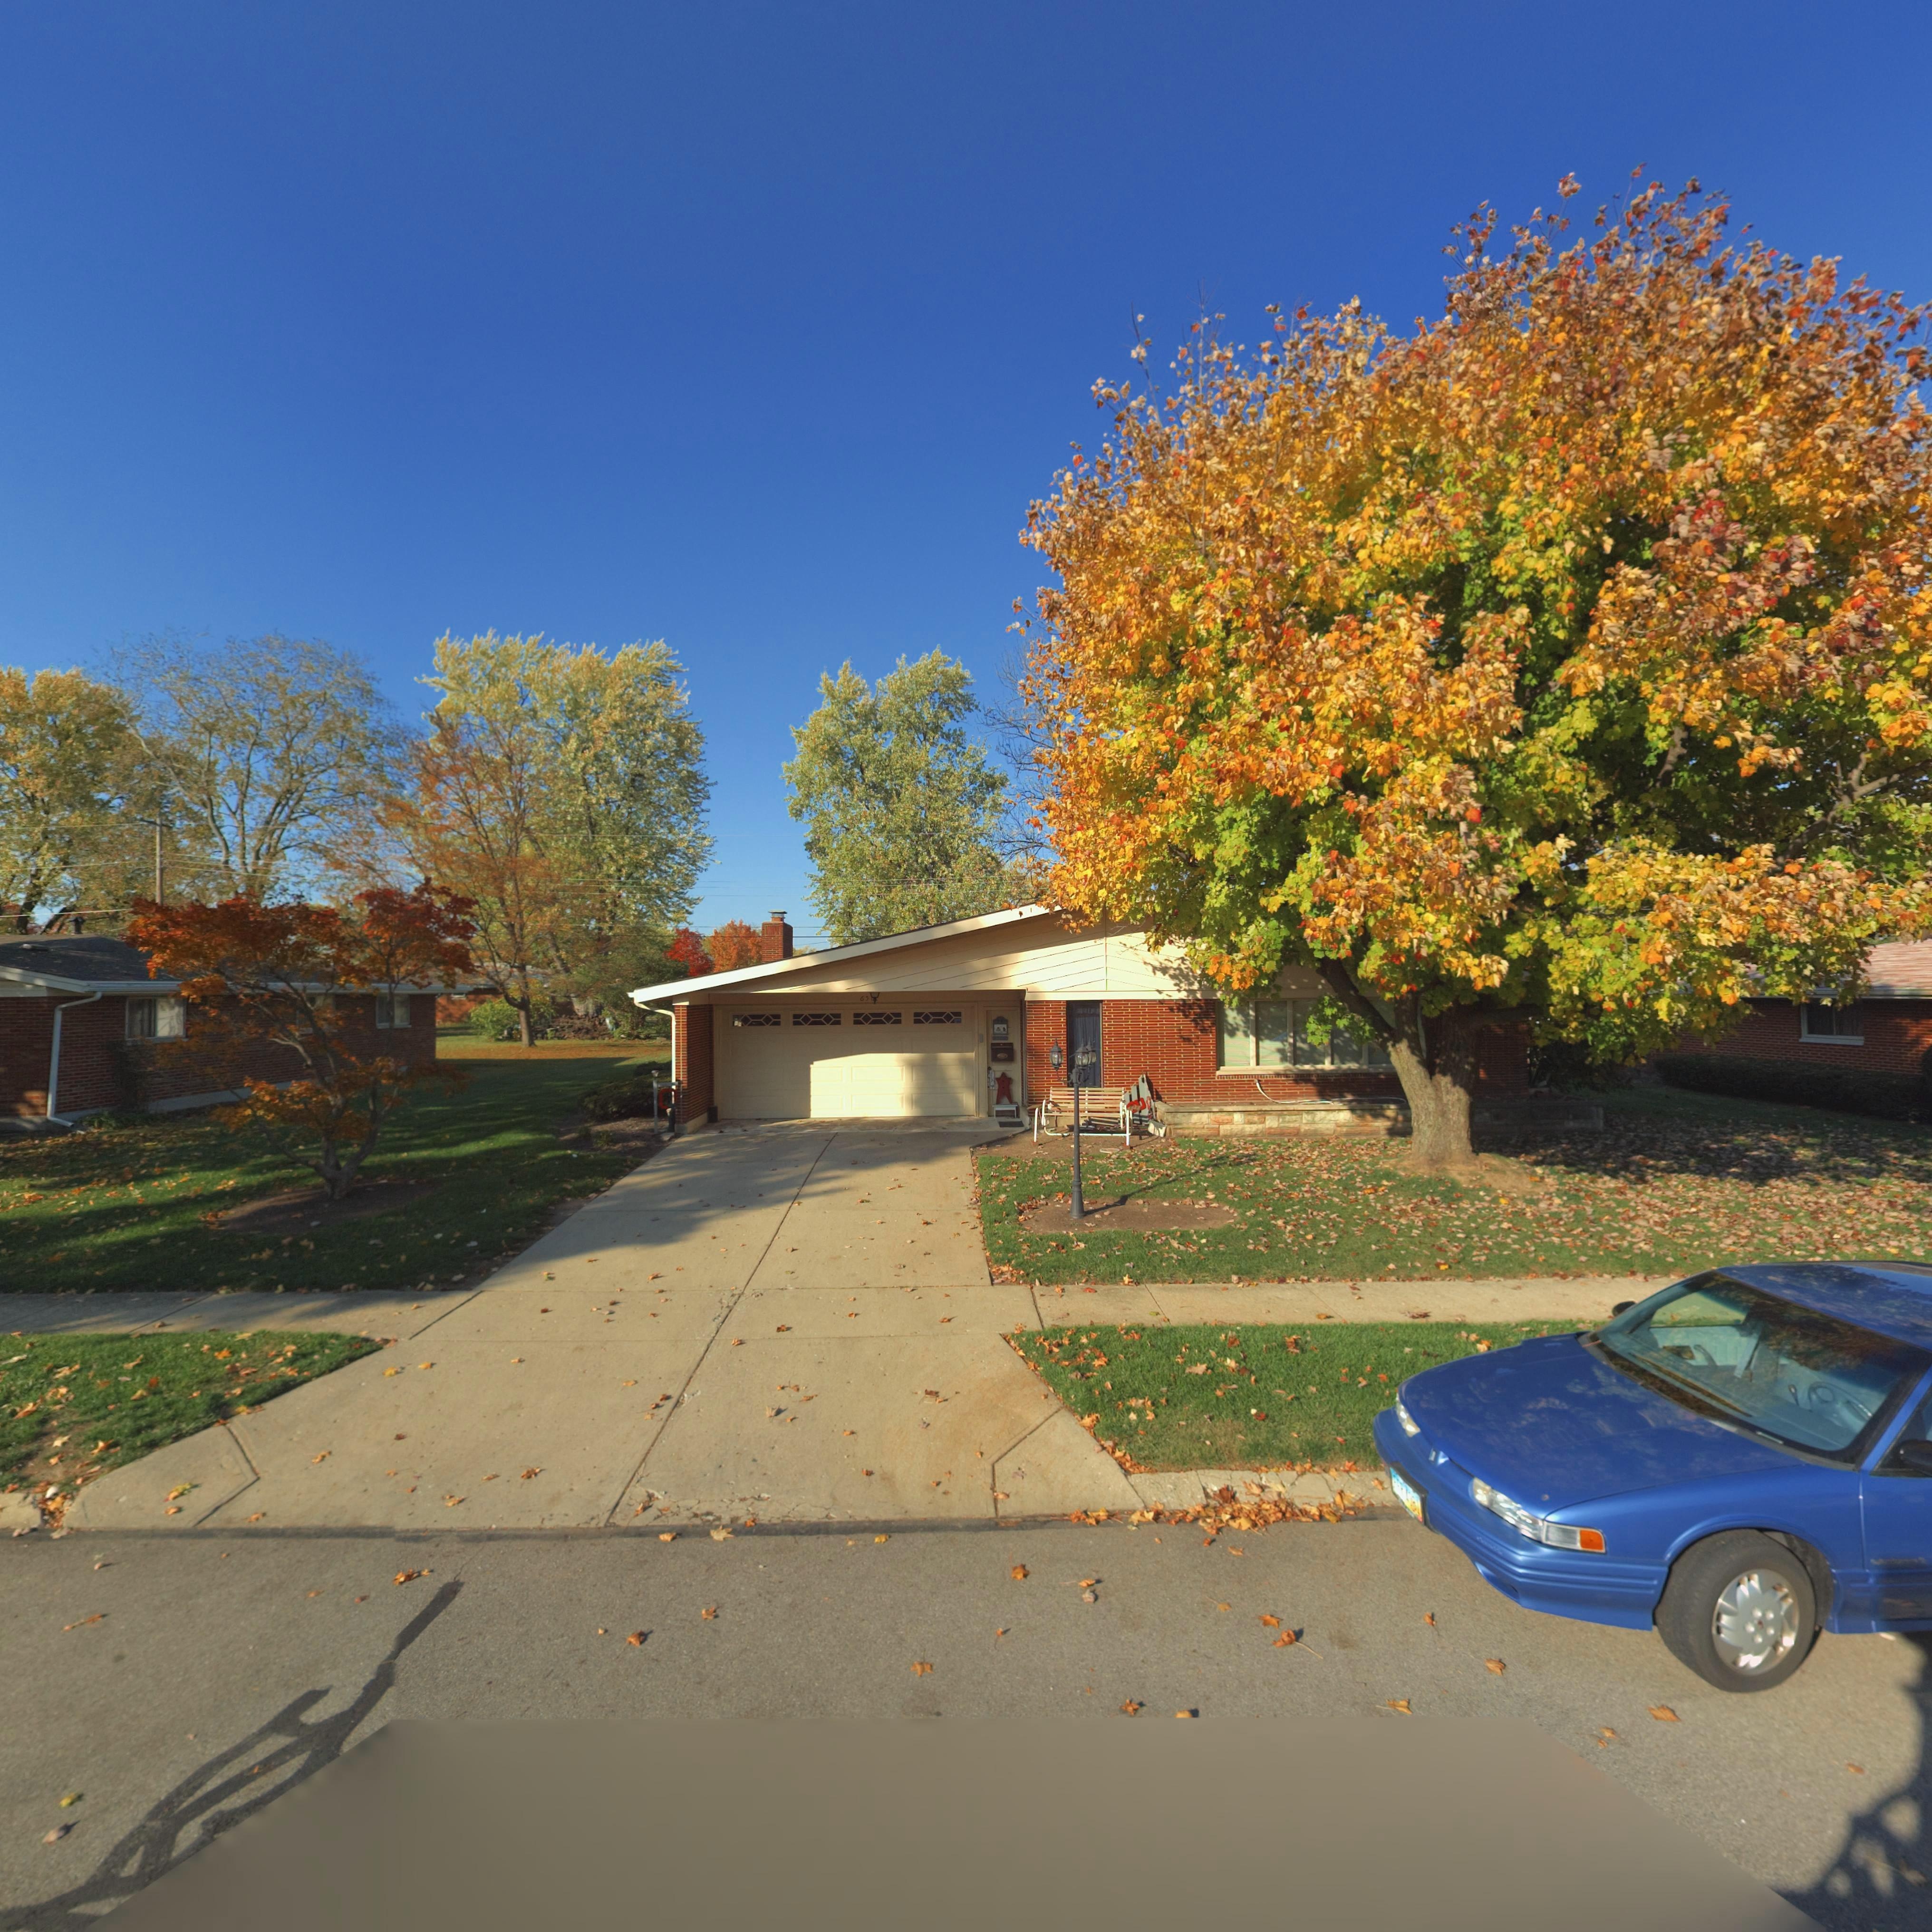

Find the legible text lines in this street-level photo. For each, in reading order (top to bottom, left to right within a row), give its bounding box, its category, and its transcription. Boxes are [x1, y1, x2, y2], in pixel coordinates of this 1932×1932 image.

[860, 995, 869, 1002] StreetNumber: 65